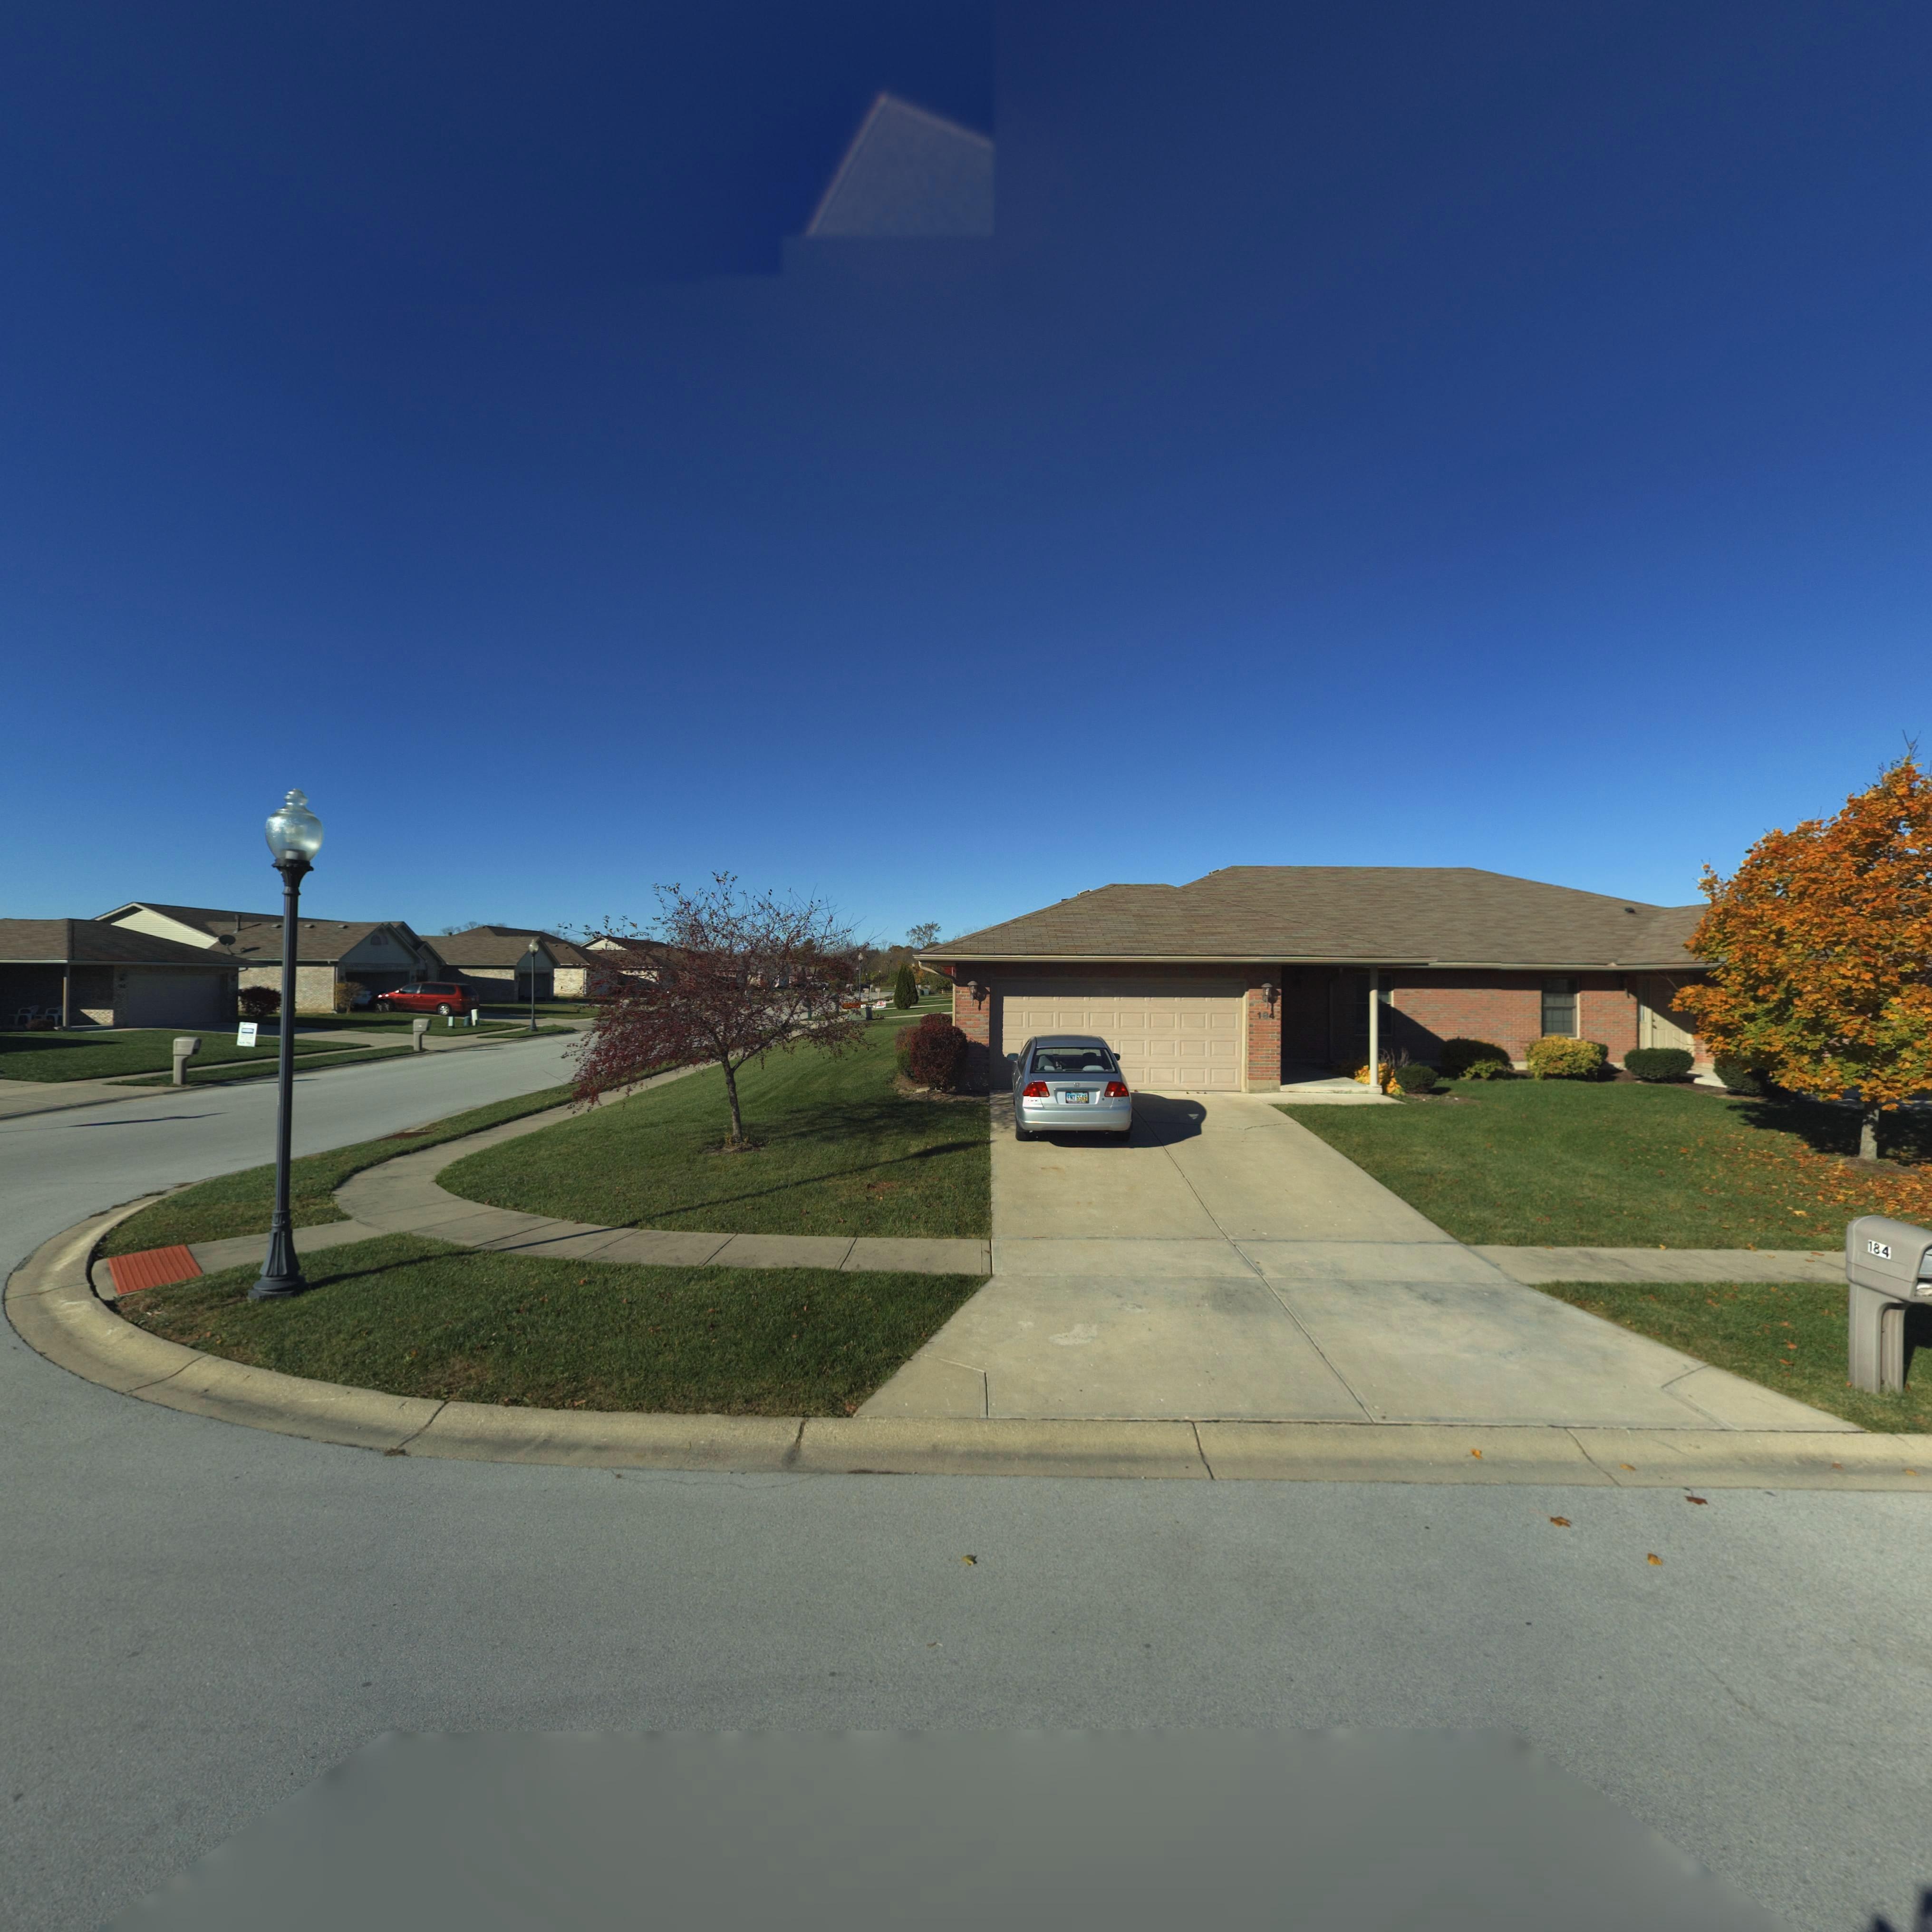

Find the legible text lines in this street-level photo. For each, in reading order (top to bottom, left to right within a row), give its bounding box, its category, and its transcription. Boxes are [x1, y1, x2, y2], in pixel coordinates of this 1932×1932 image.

[1256, 1011, 1276, 1020] StreetNumber: 184
[1868, 1240, 1891, 1259] StreetNumber: 184